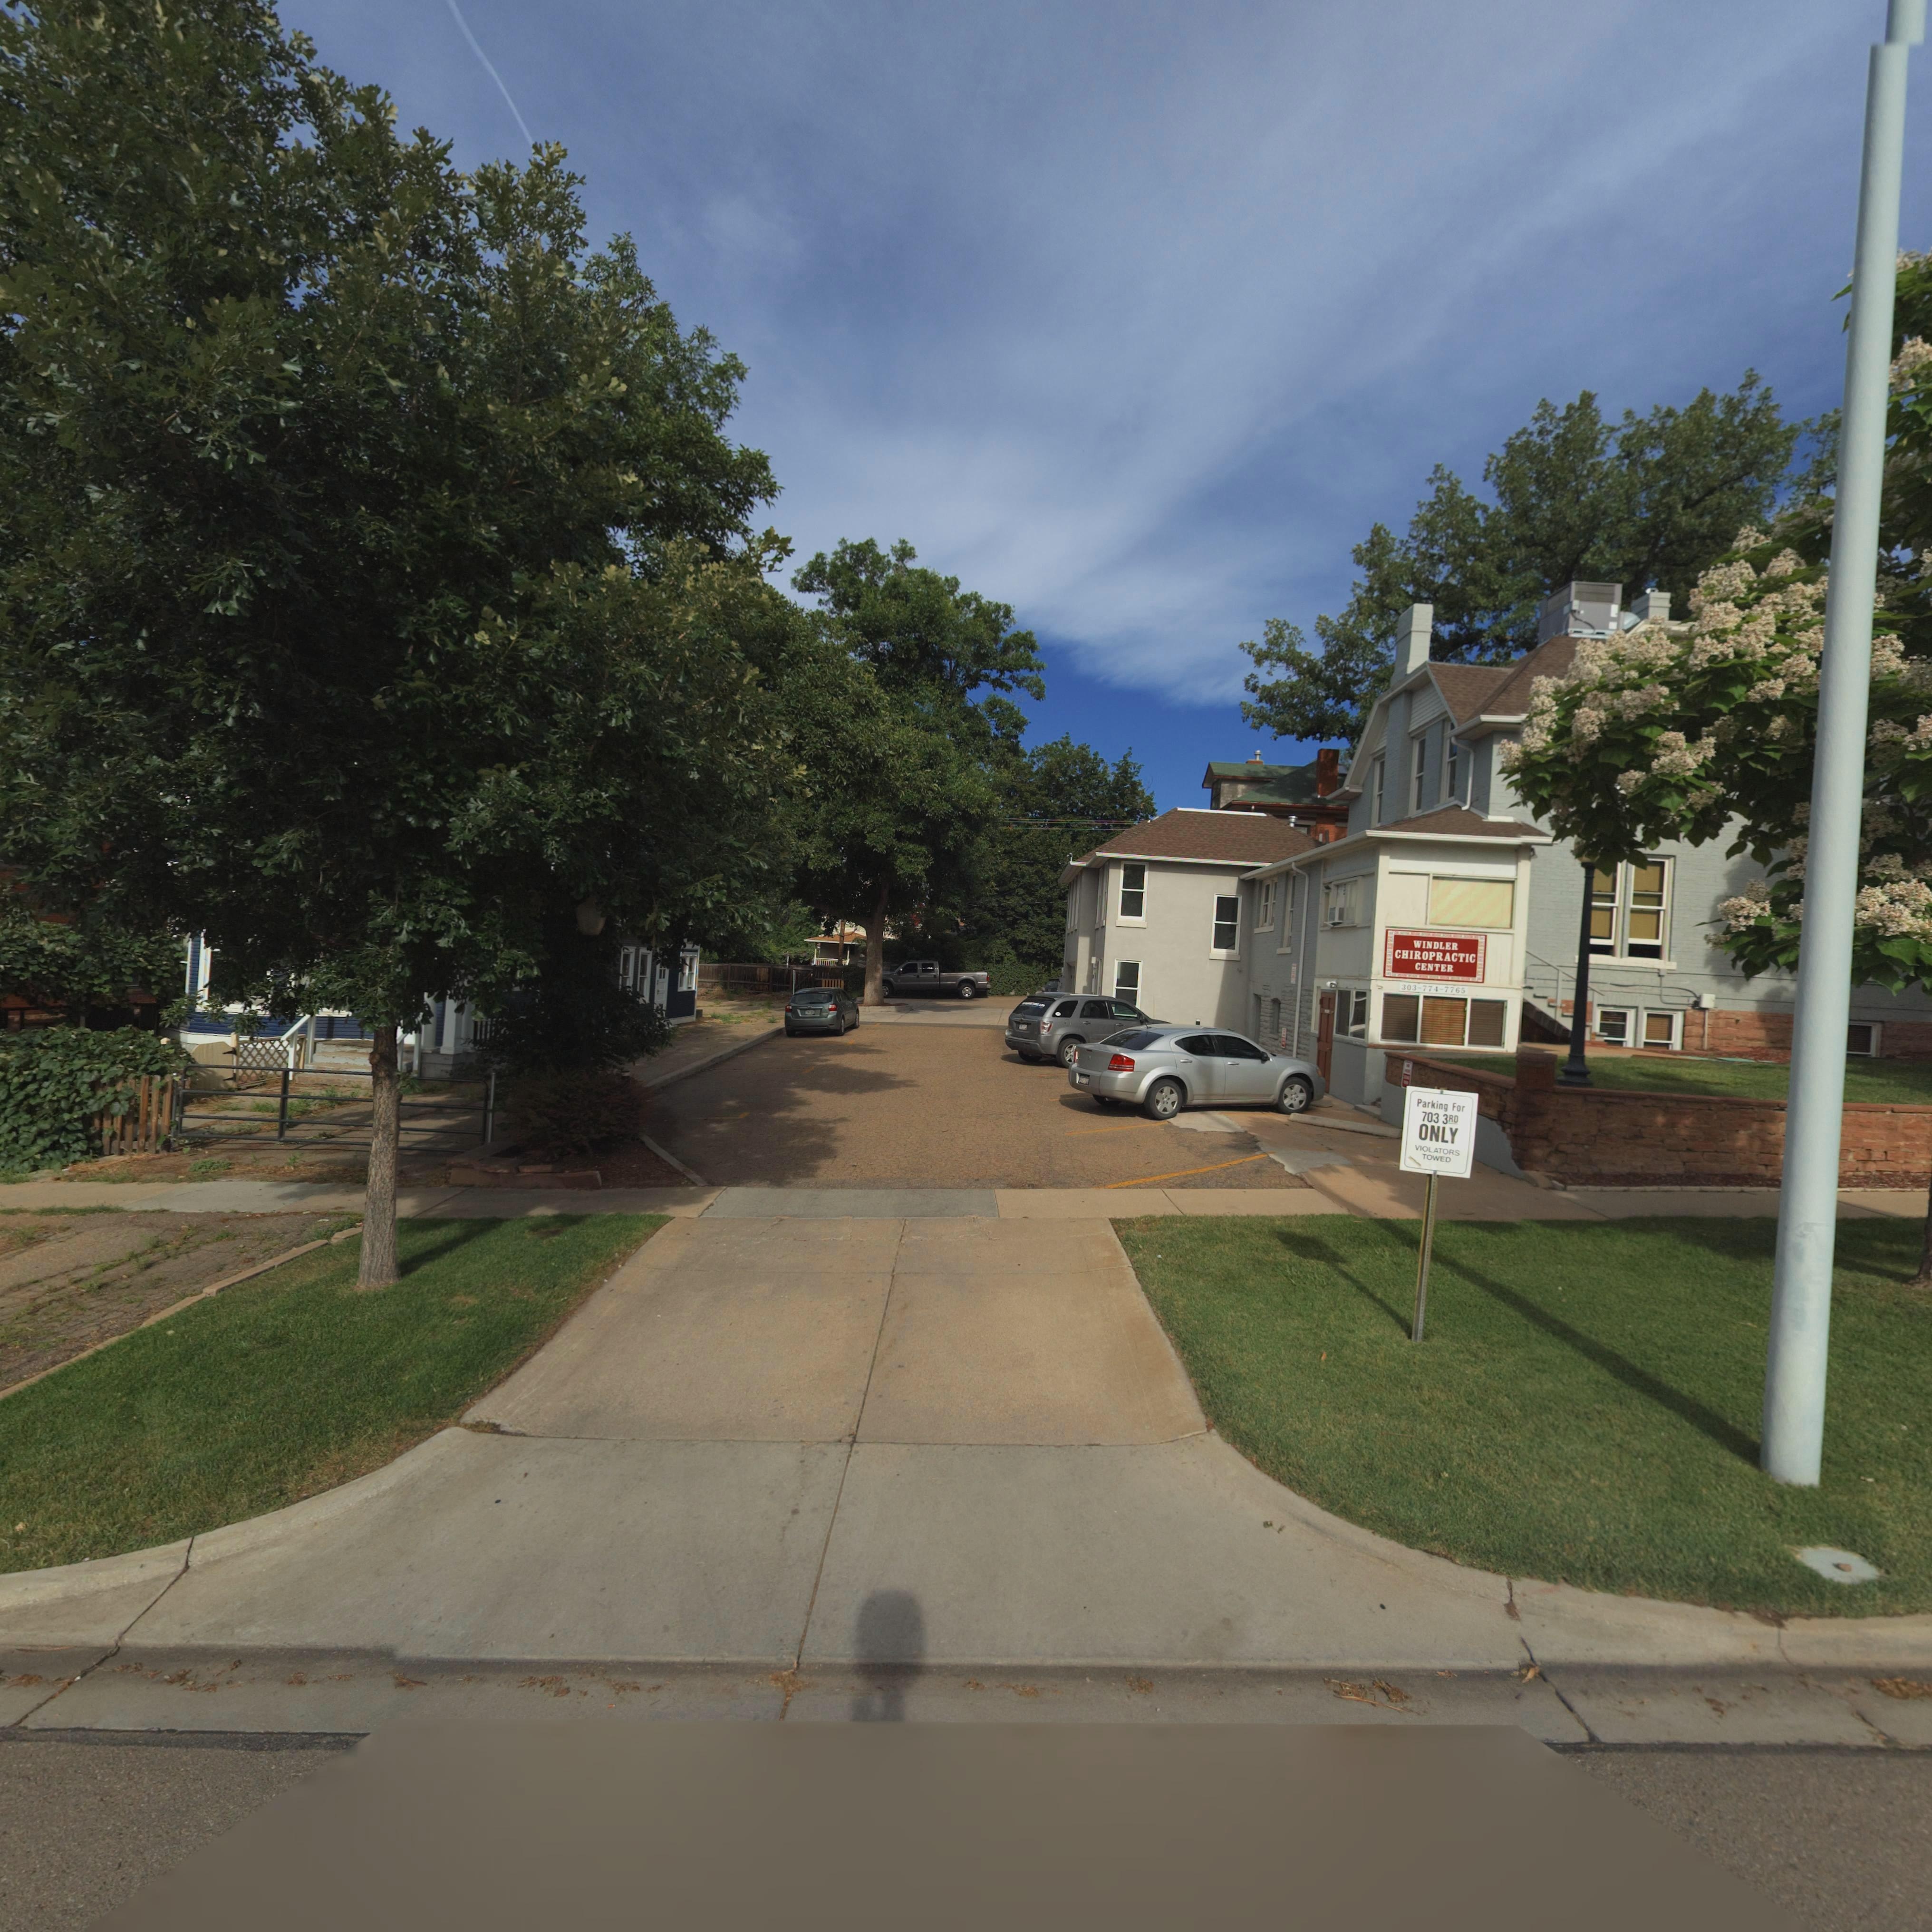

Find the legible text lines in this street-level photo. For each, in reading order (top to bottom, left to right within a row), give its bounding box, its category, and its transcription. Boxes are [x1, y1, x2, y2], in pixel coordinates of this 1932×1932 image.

[1413, 939, 1459, 950] BusinessName: WINDLER
[1395, 949, 1475, 963] BusinessName: CHIROPRACTIC
[1415, 962, 1453, 972] BusinessName: CENTER